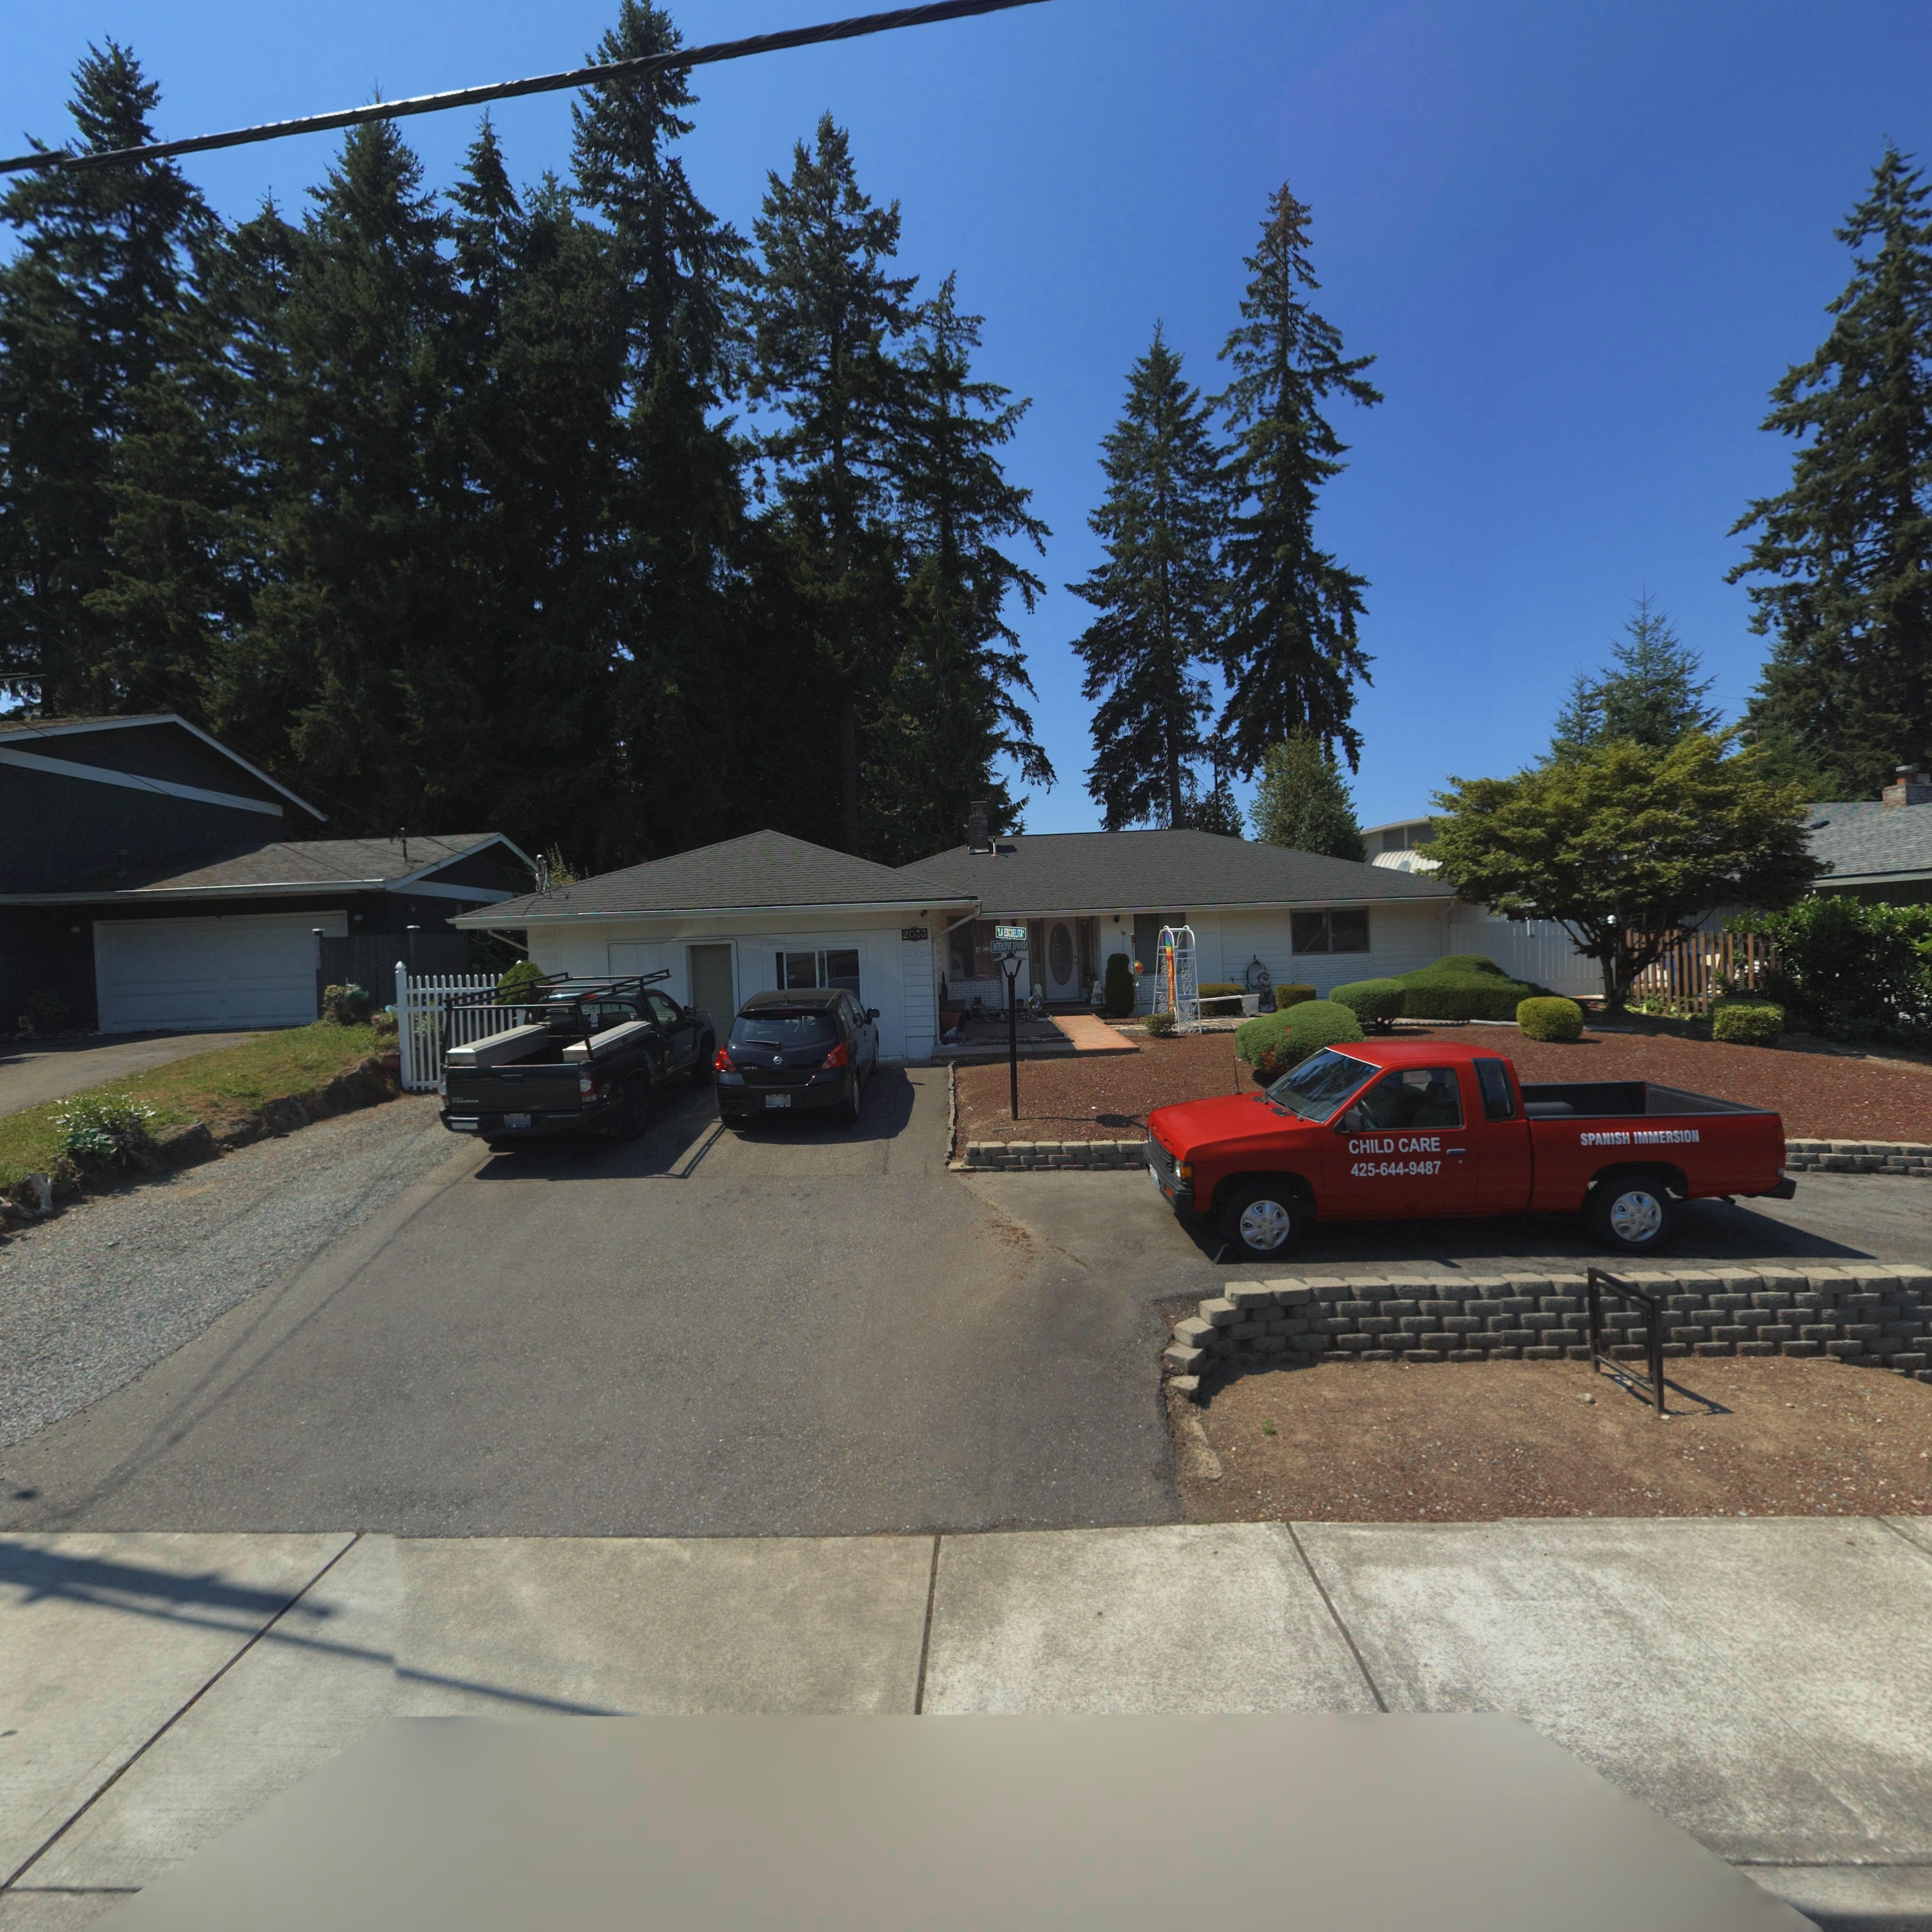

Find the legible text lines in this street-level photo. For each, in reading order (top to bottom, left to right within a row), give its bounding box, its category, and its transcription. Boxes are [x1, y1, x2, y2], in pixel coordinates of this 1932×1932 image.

[902, 929, 926, 938] StreetNumber: 2033
[998, 927, 1024, 938] BusinessName: LA ESCUELITA
[992, 940, 1029, 952] BusinessName: INTENSIVE SPANISH